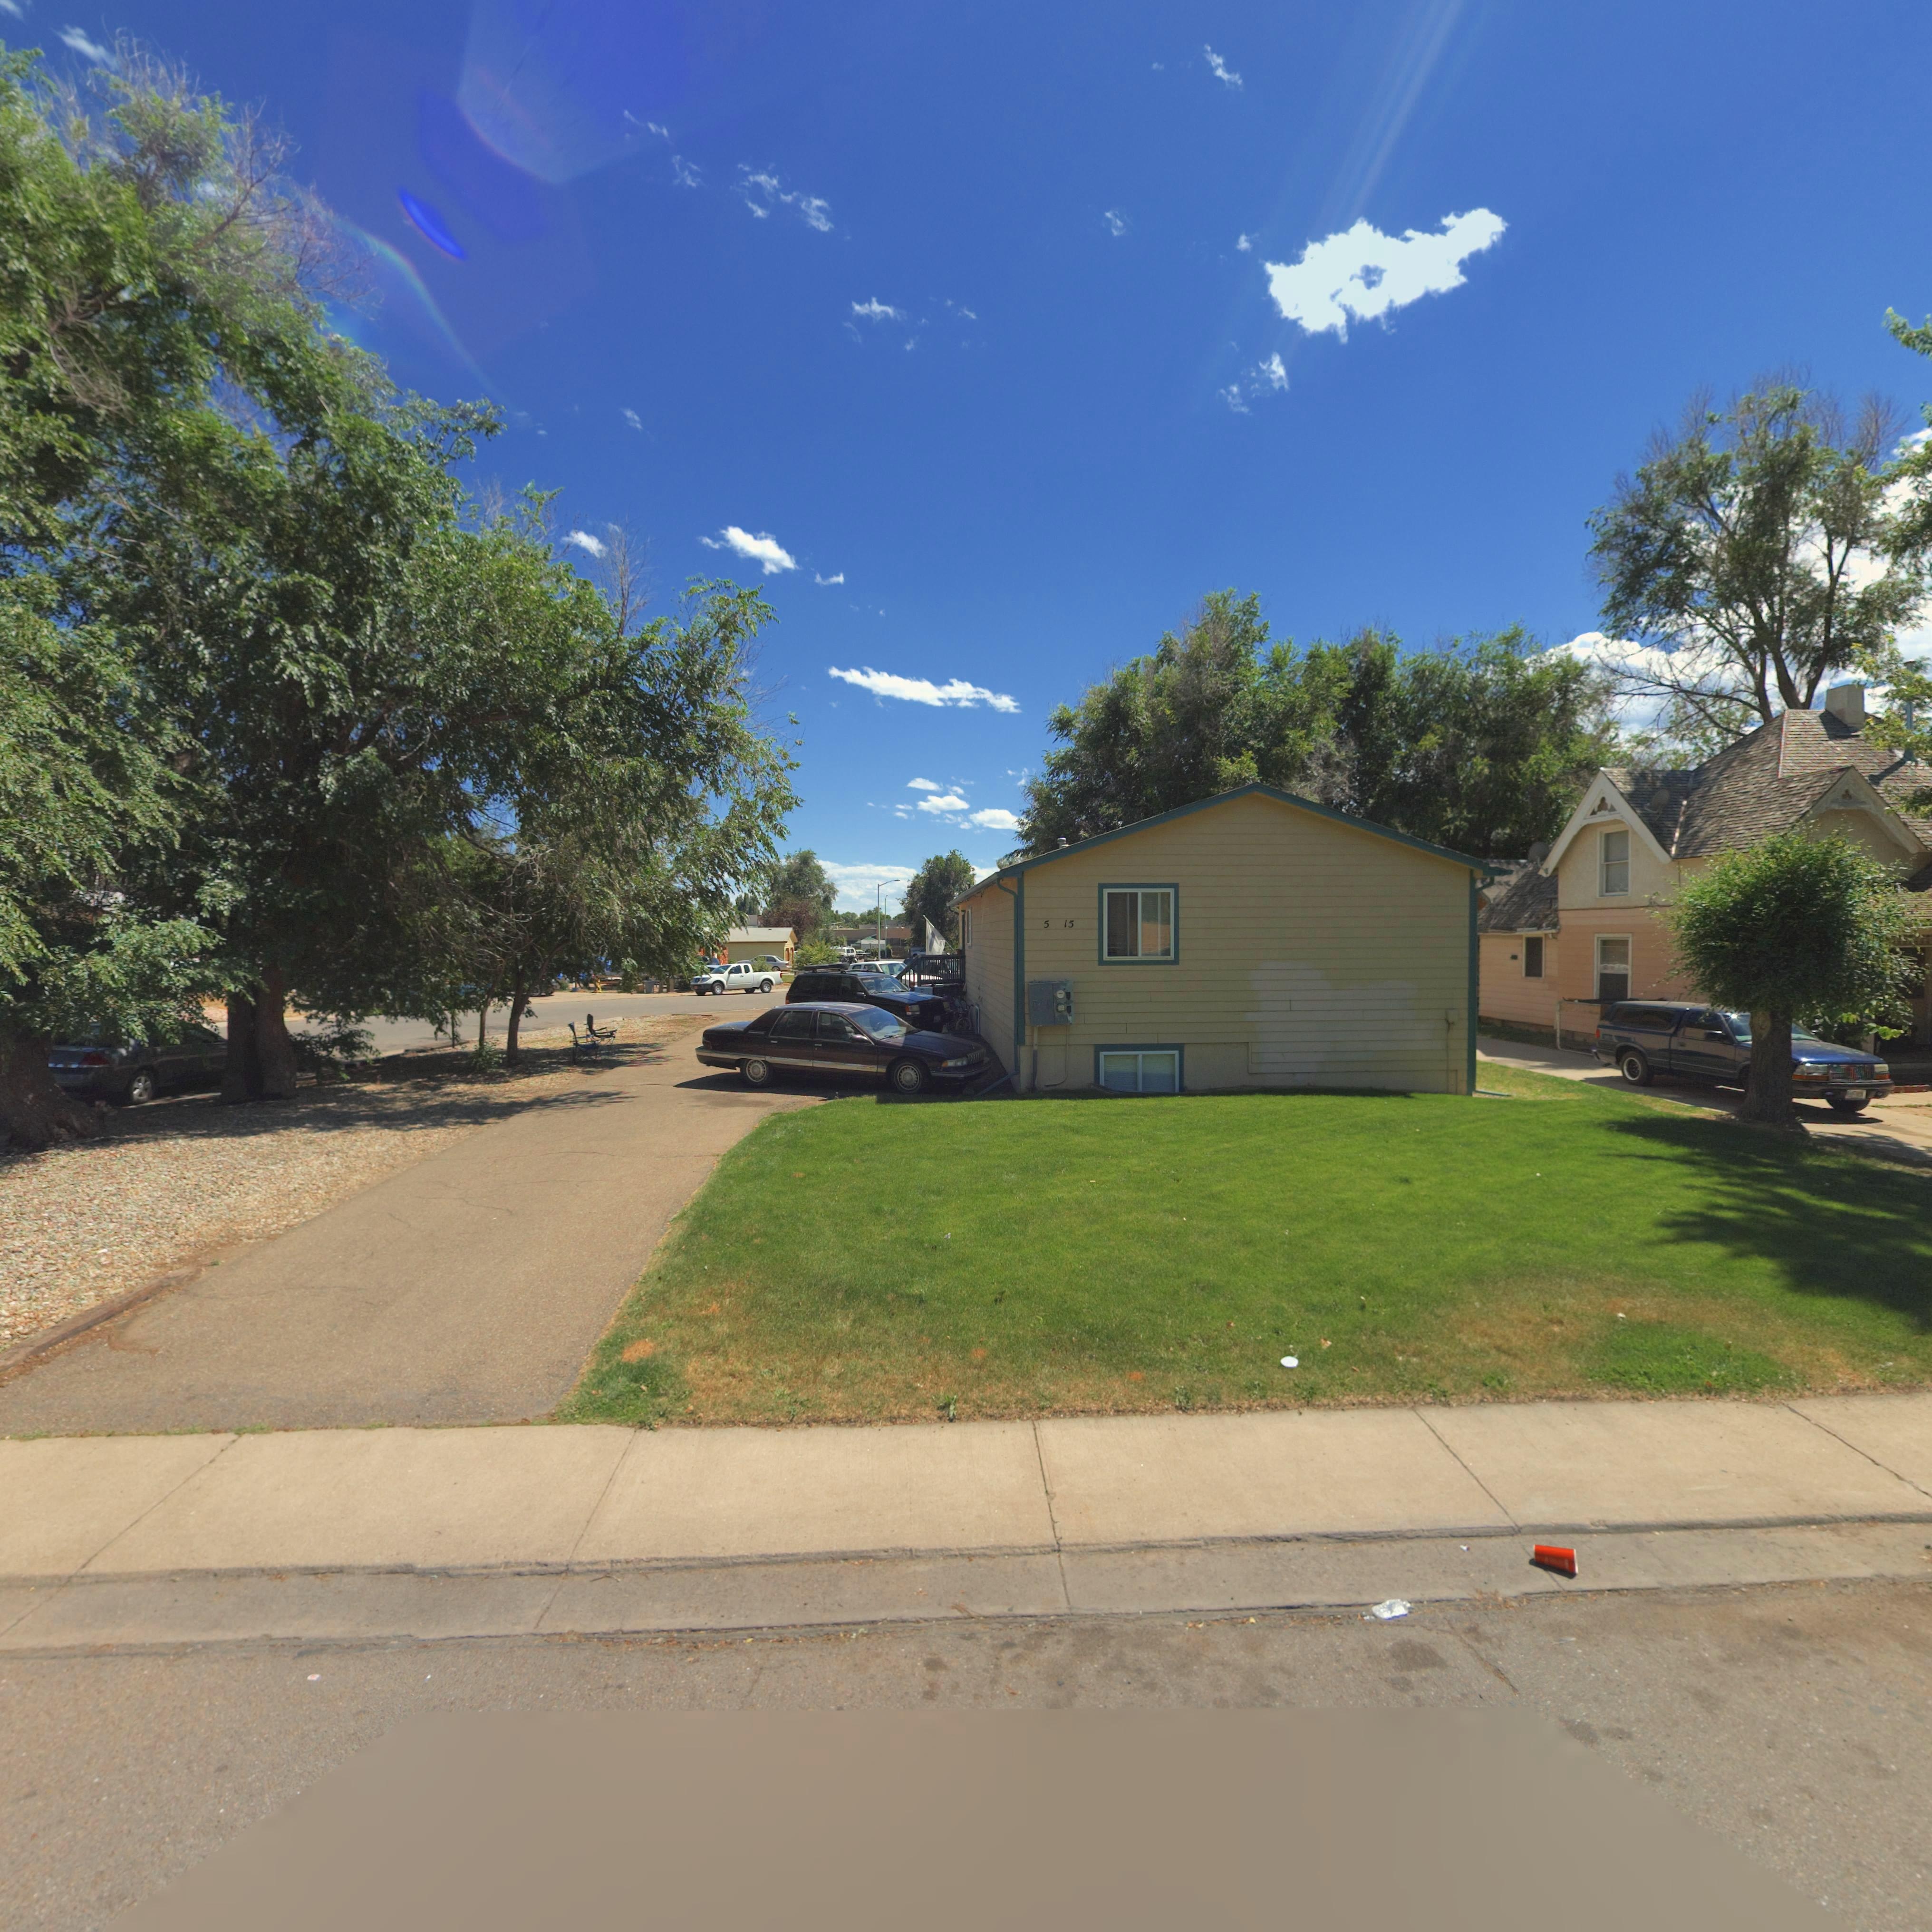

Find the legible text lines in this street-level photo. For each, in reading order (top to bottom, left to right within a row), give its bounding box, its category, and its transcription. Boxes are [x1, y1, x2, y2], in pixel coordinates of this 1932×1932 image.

[1043, 920, 1049, 928] StreetNumber: 5
[1063, 919, 1074, 927] StreetNumber: 15